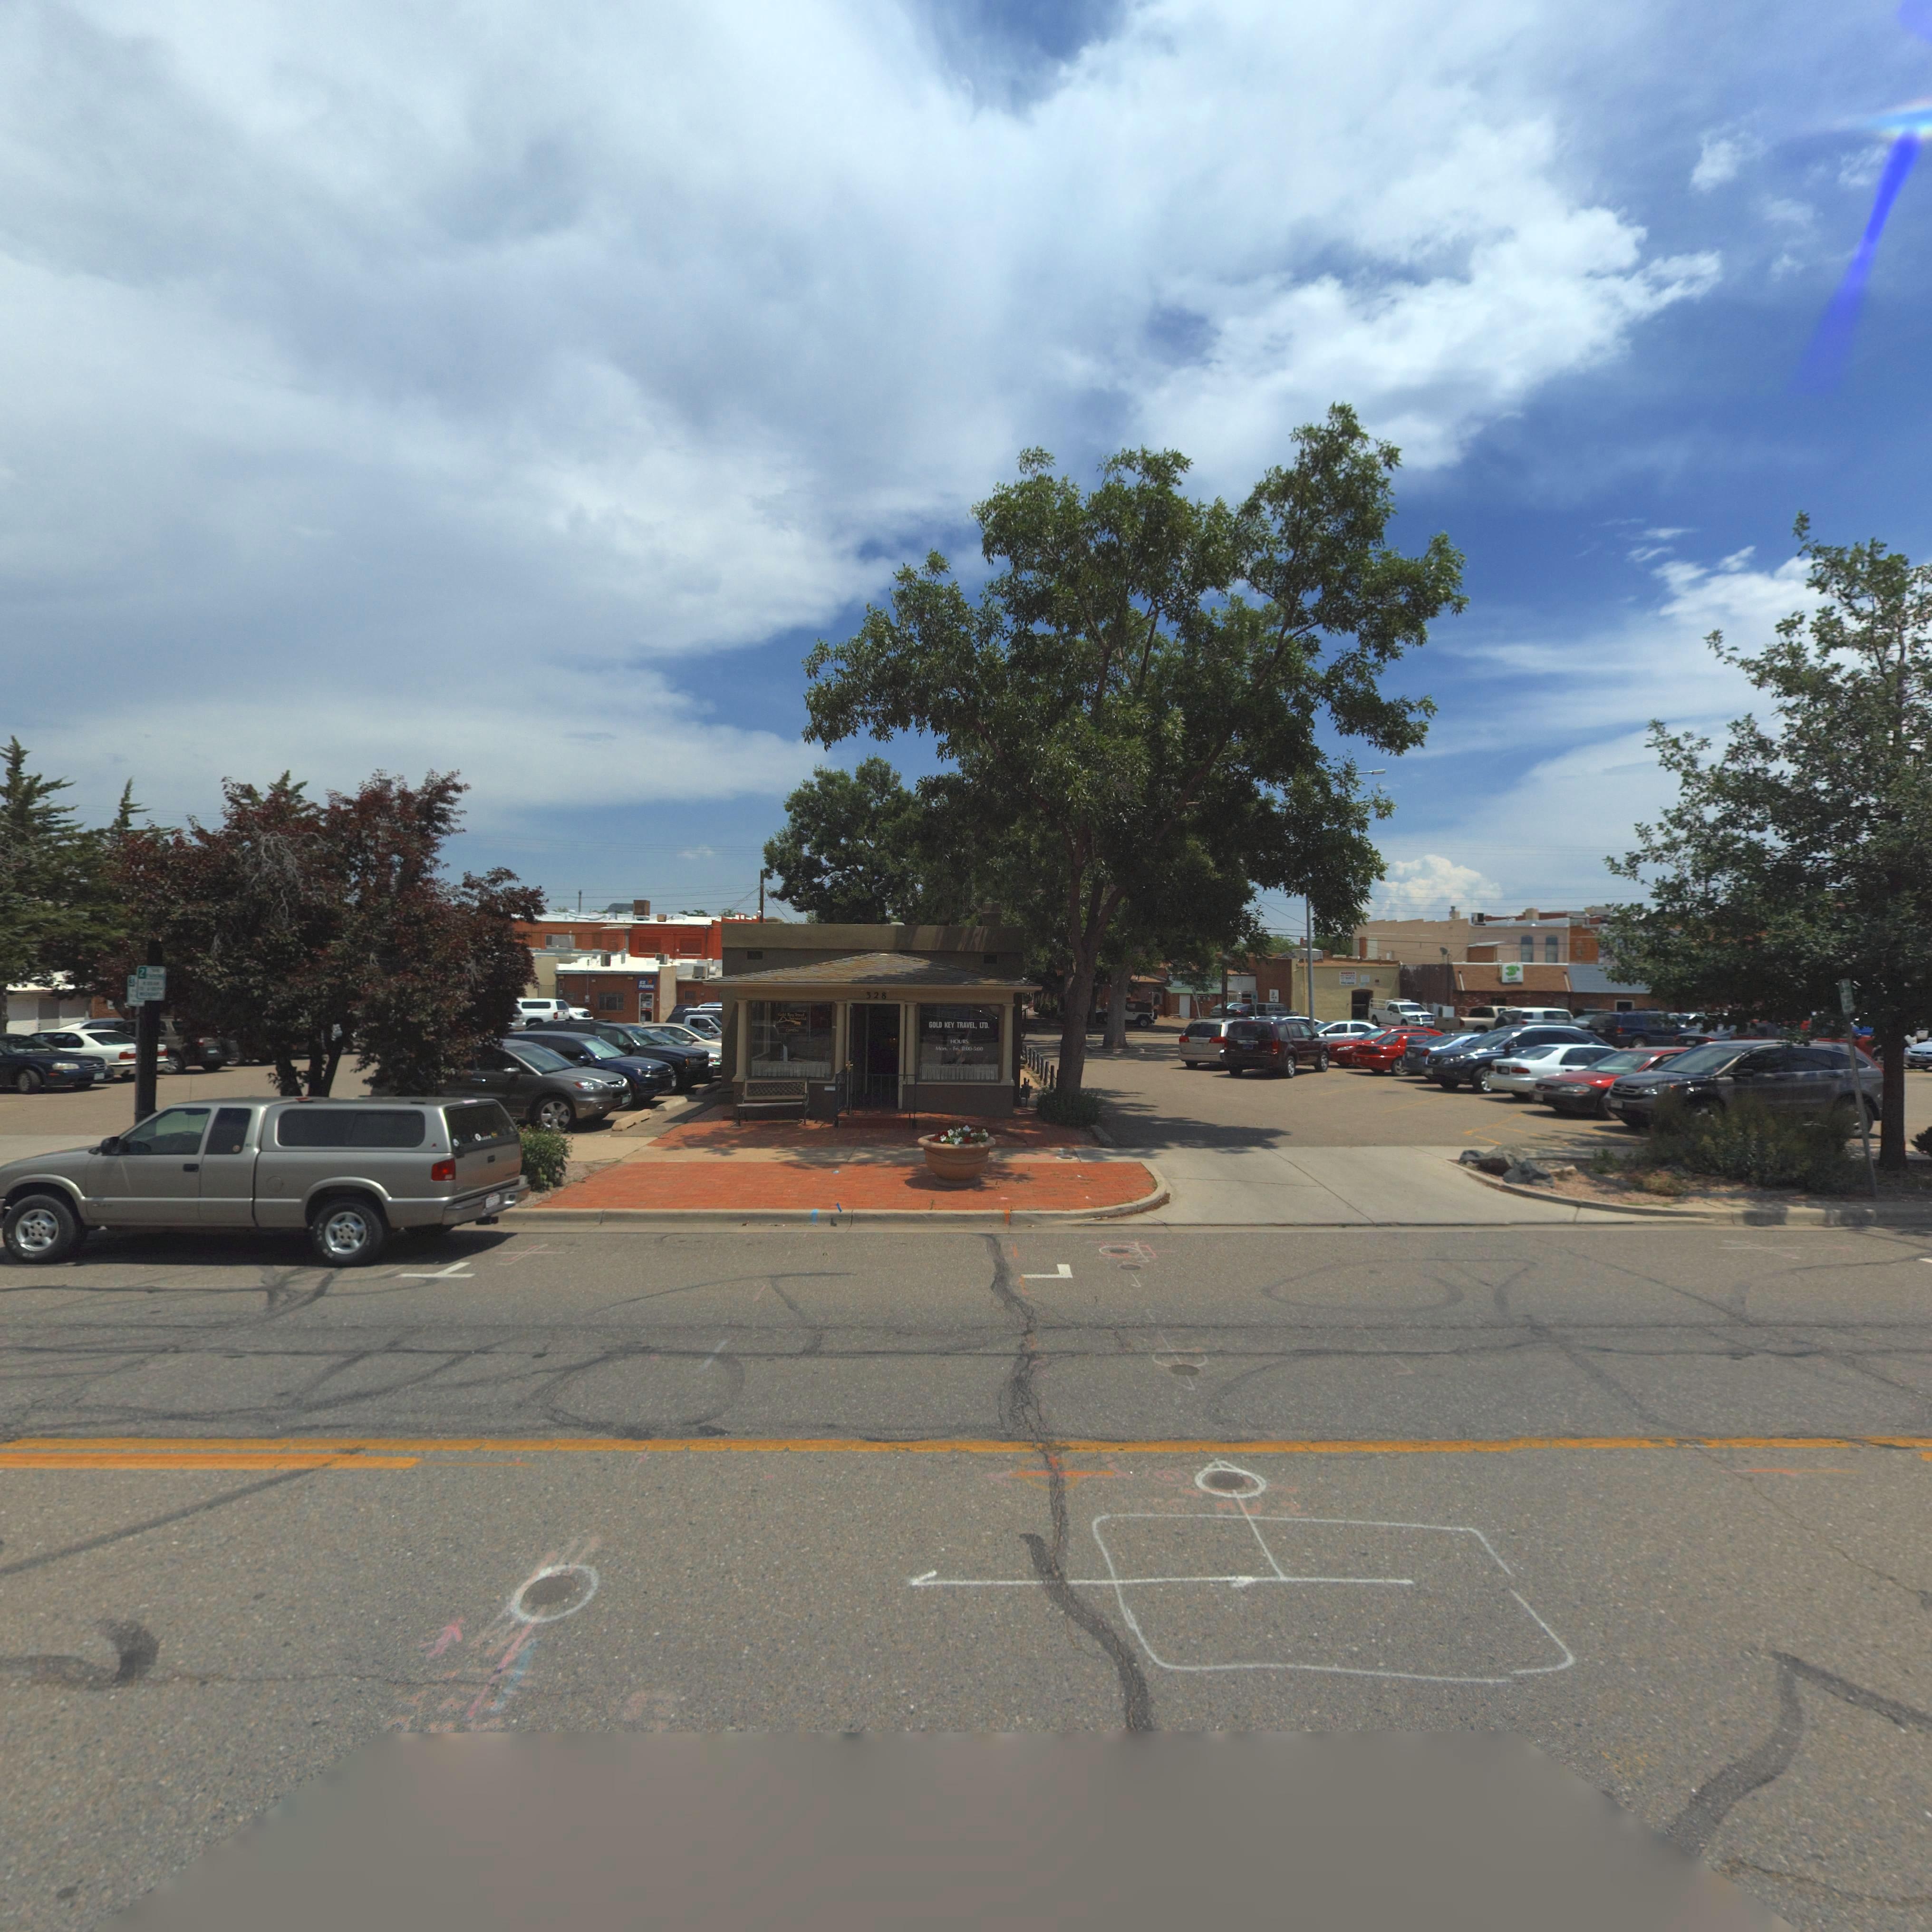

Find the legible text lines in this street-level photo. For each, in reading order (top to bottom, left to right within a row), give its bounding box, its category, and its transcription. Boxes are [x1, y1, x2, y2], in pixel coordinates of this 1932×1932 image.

[639, 980, 646, 984] BusinessName: EZ
[638, 984, 654, 988] BusinessName: PAWN
[866, 991, 887, 1000] StreetNumber: 328
[777, 1012, 804, 1017] BusinessName: G*ld K*y T****l
[928, 1022, 990, 1030] BusinessName: GOLD KEY TRAVEL, LTD.